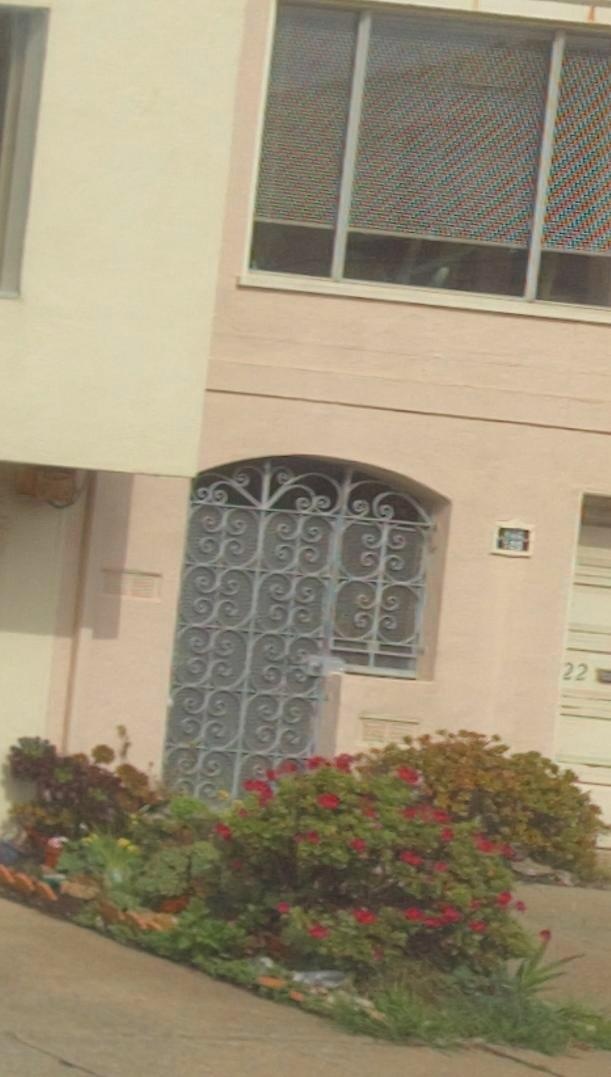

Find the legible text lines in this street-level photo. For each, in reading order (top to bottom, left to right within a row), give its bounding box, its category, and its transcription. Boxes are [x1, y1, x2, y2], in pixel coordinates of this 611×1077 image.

[561, 660, 591, 682] StreetNumber: *2